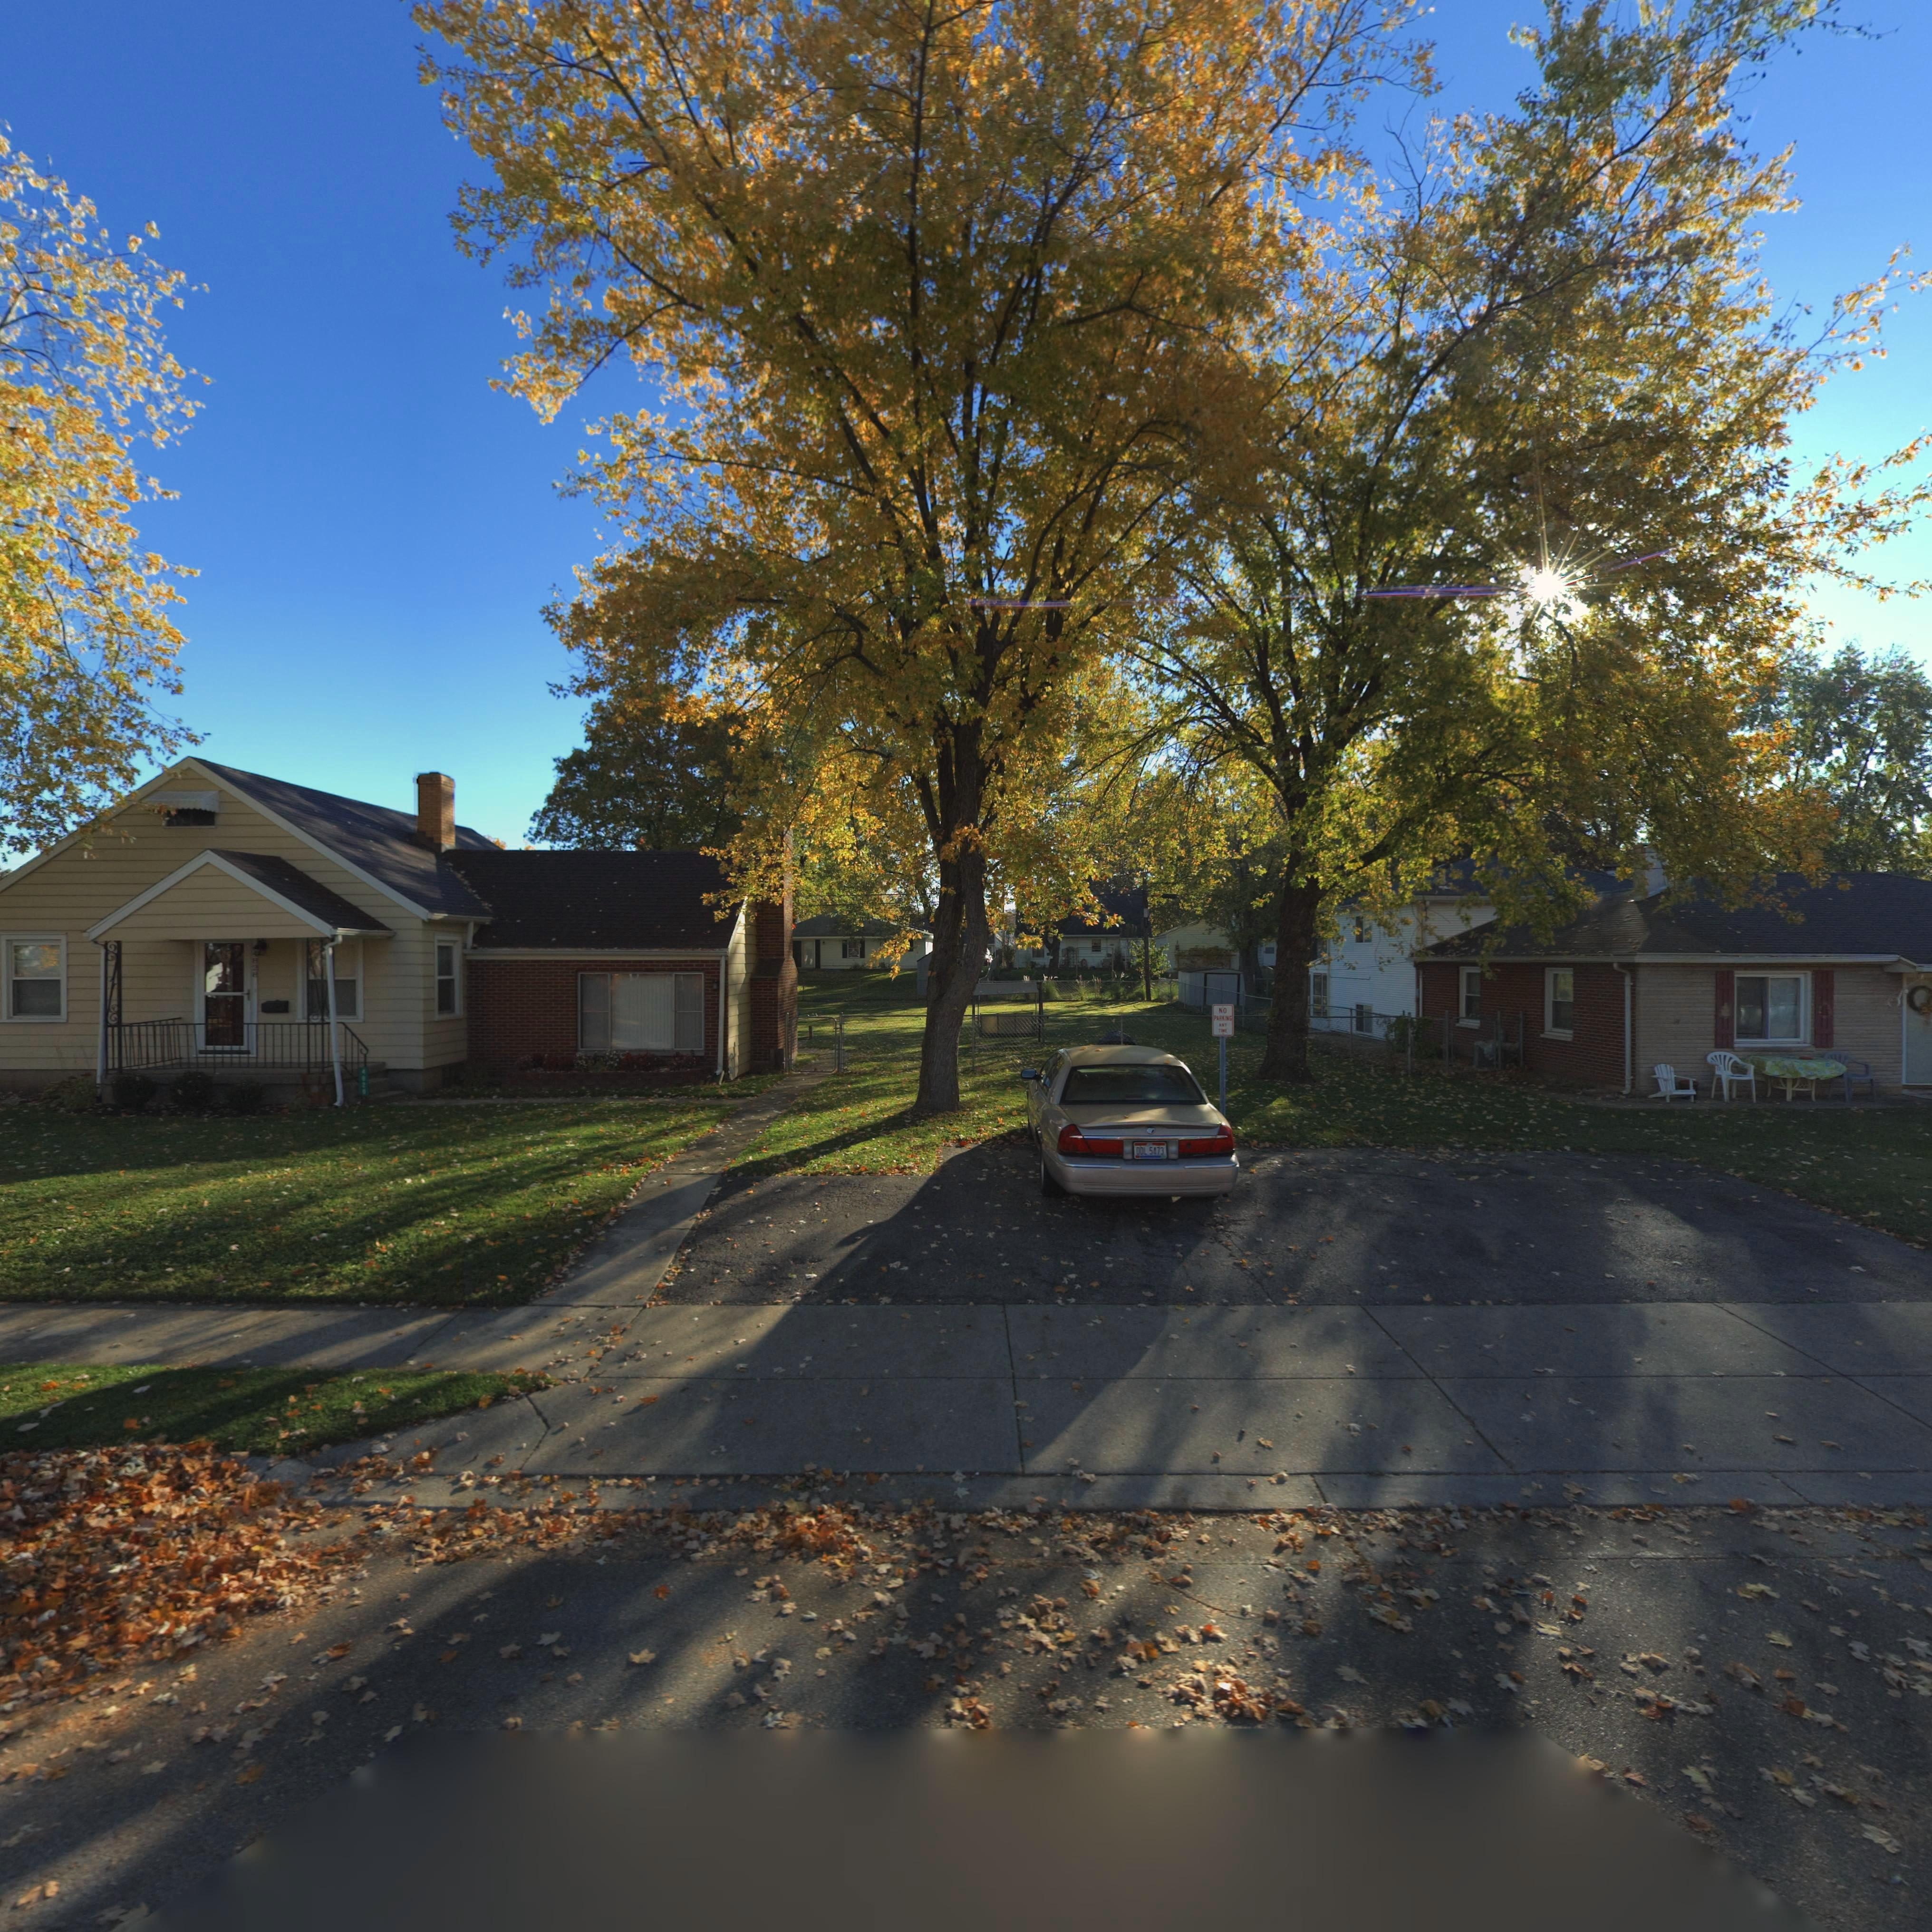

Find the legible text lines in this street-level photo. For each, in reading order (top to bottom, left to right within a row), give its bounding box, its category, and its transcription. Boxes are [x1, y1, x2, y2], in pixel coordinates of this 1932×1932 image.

[251, 957, 259, 978] StreetNumber: 82*
[361, 1068, 367, 1095] StreetNumber: **2*